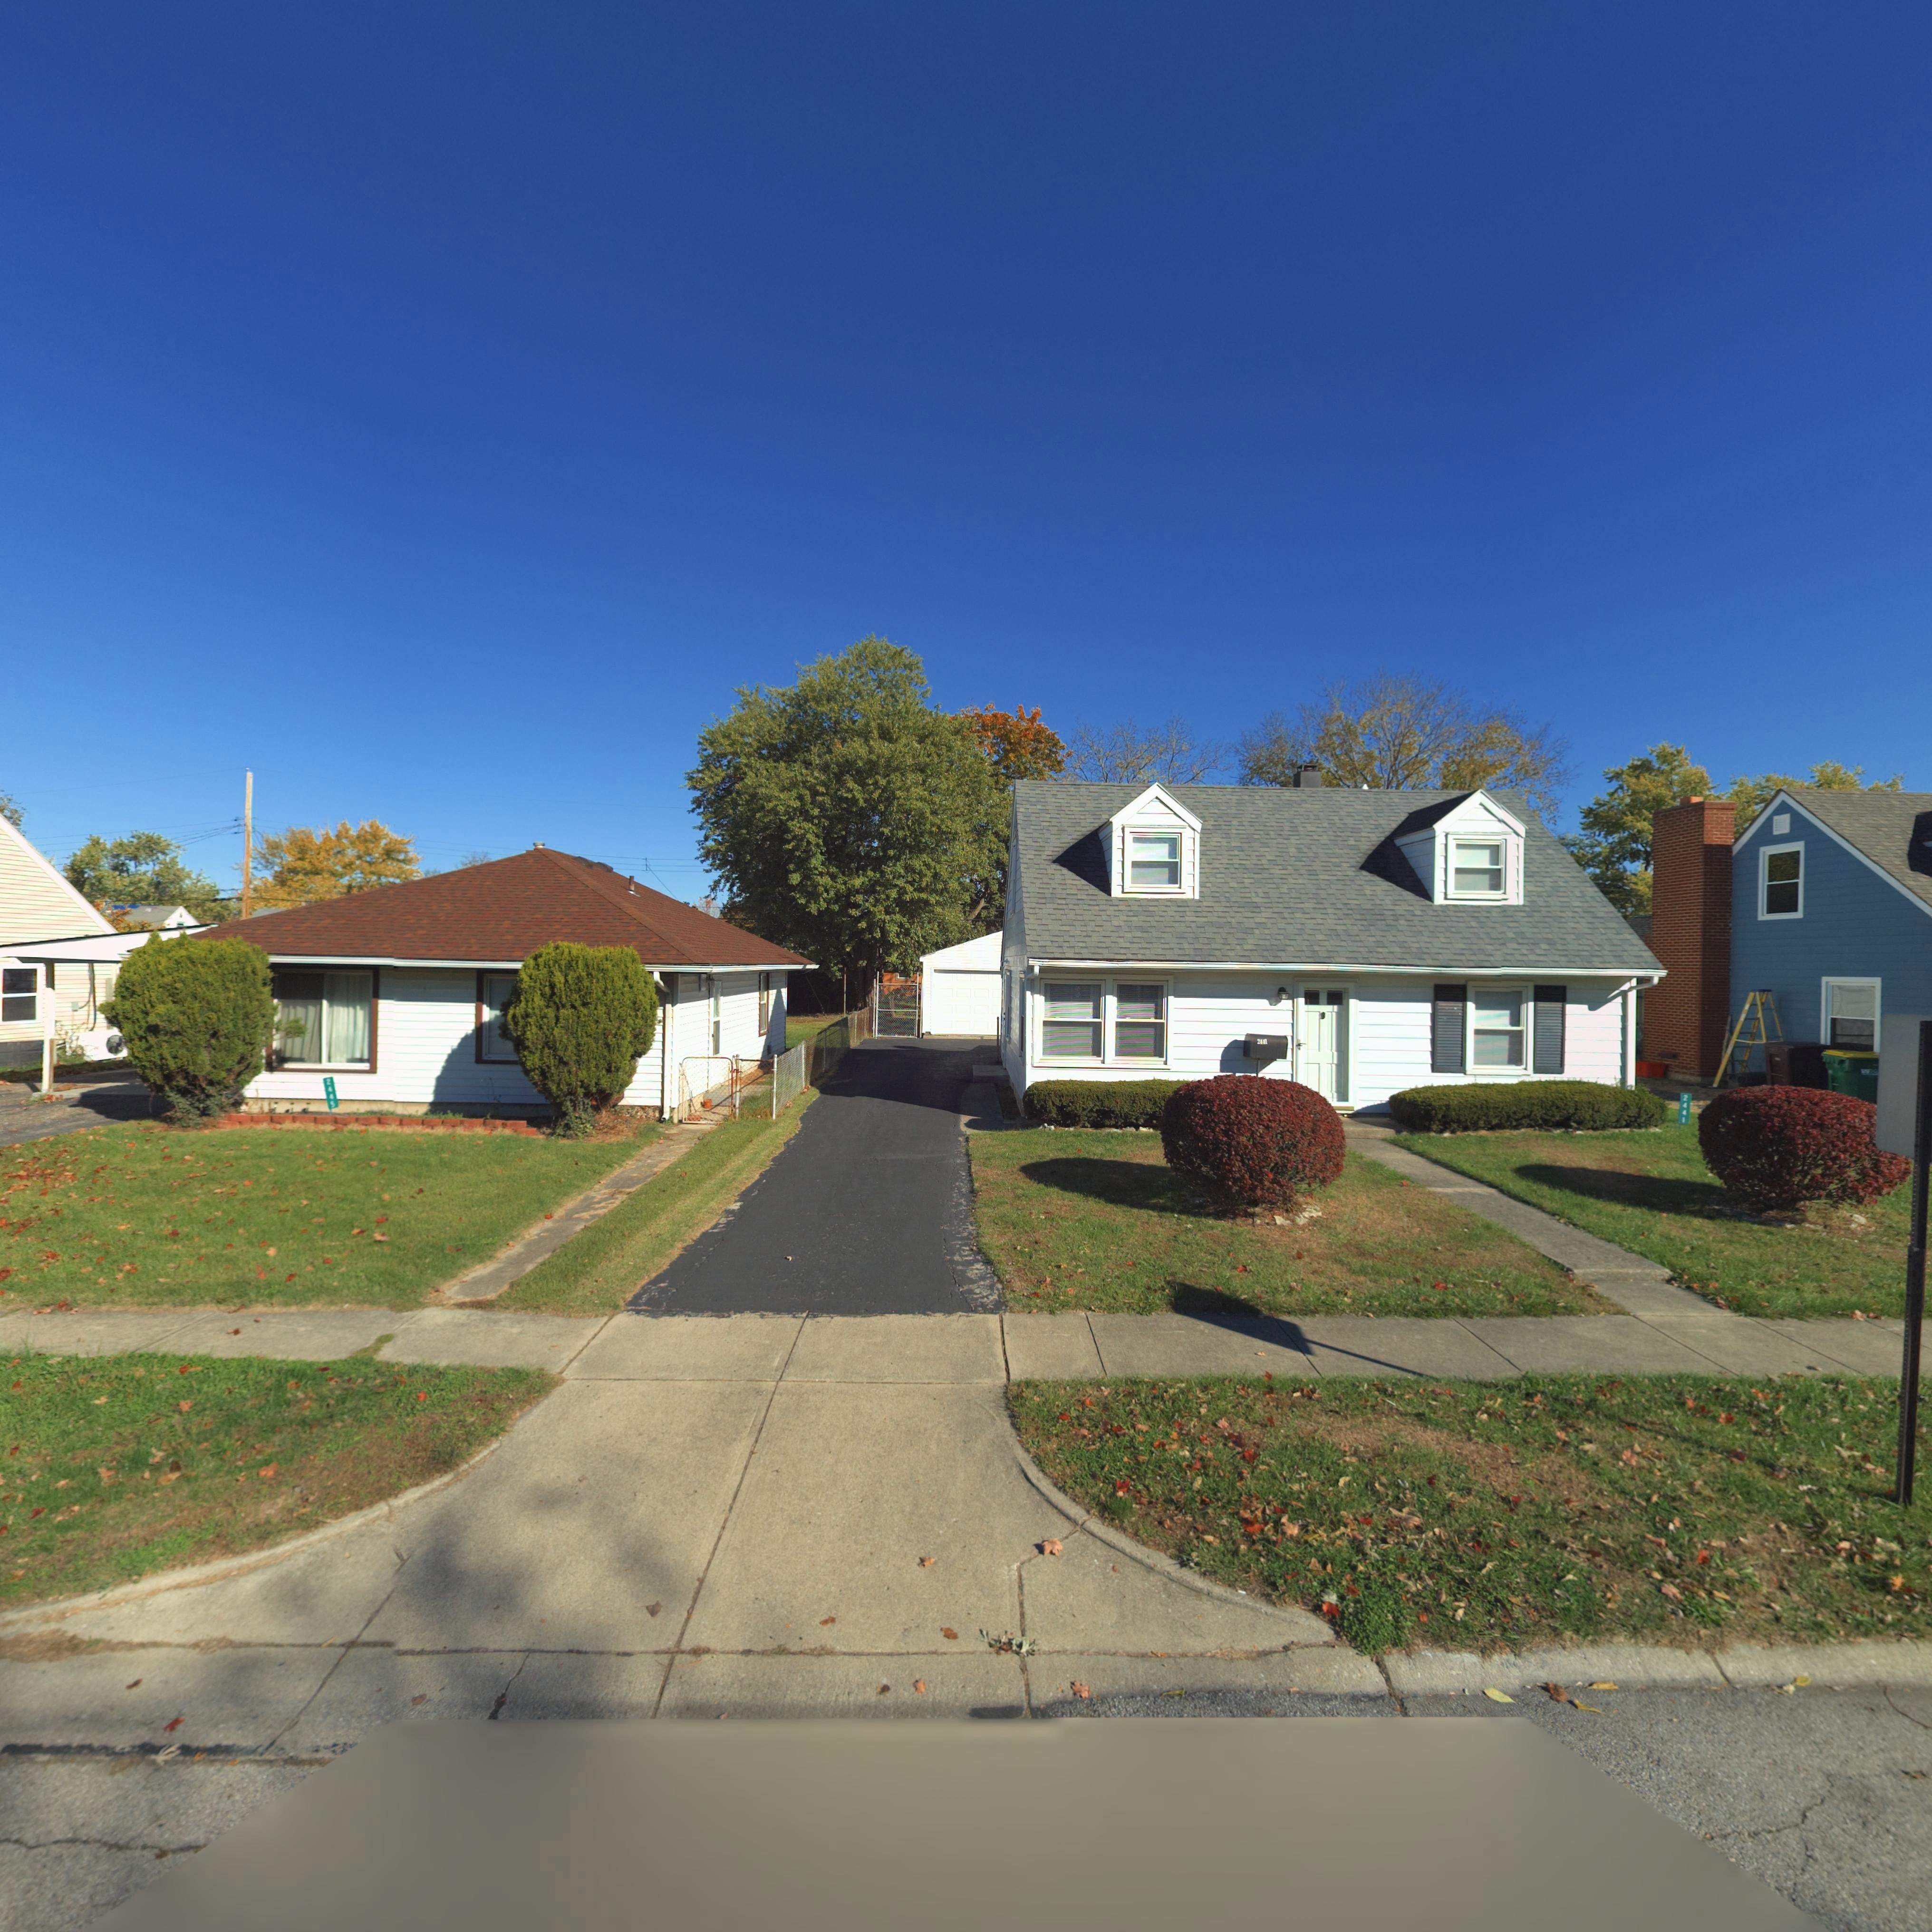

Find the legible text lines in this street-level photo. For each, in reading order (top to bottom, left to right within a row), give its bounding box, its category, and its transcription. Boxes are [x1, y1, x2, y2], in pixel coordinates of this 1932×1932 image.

[1256, 1038, 1268, 1045] StreetNumber: 2441
[325, 1077, 336, 1109] StreetNumber: 2445
[1681, 1094, 1689, 1123] StreetNumber: 2441